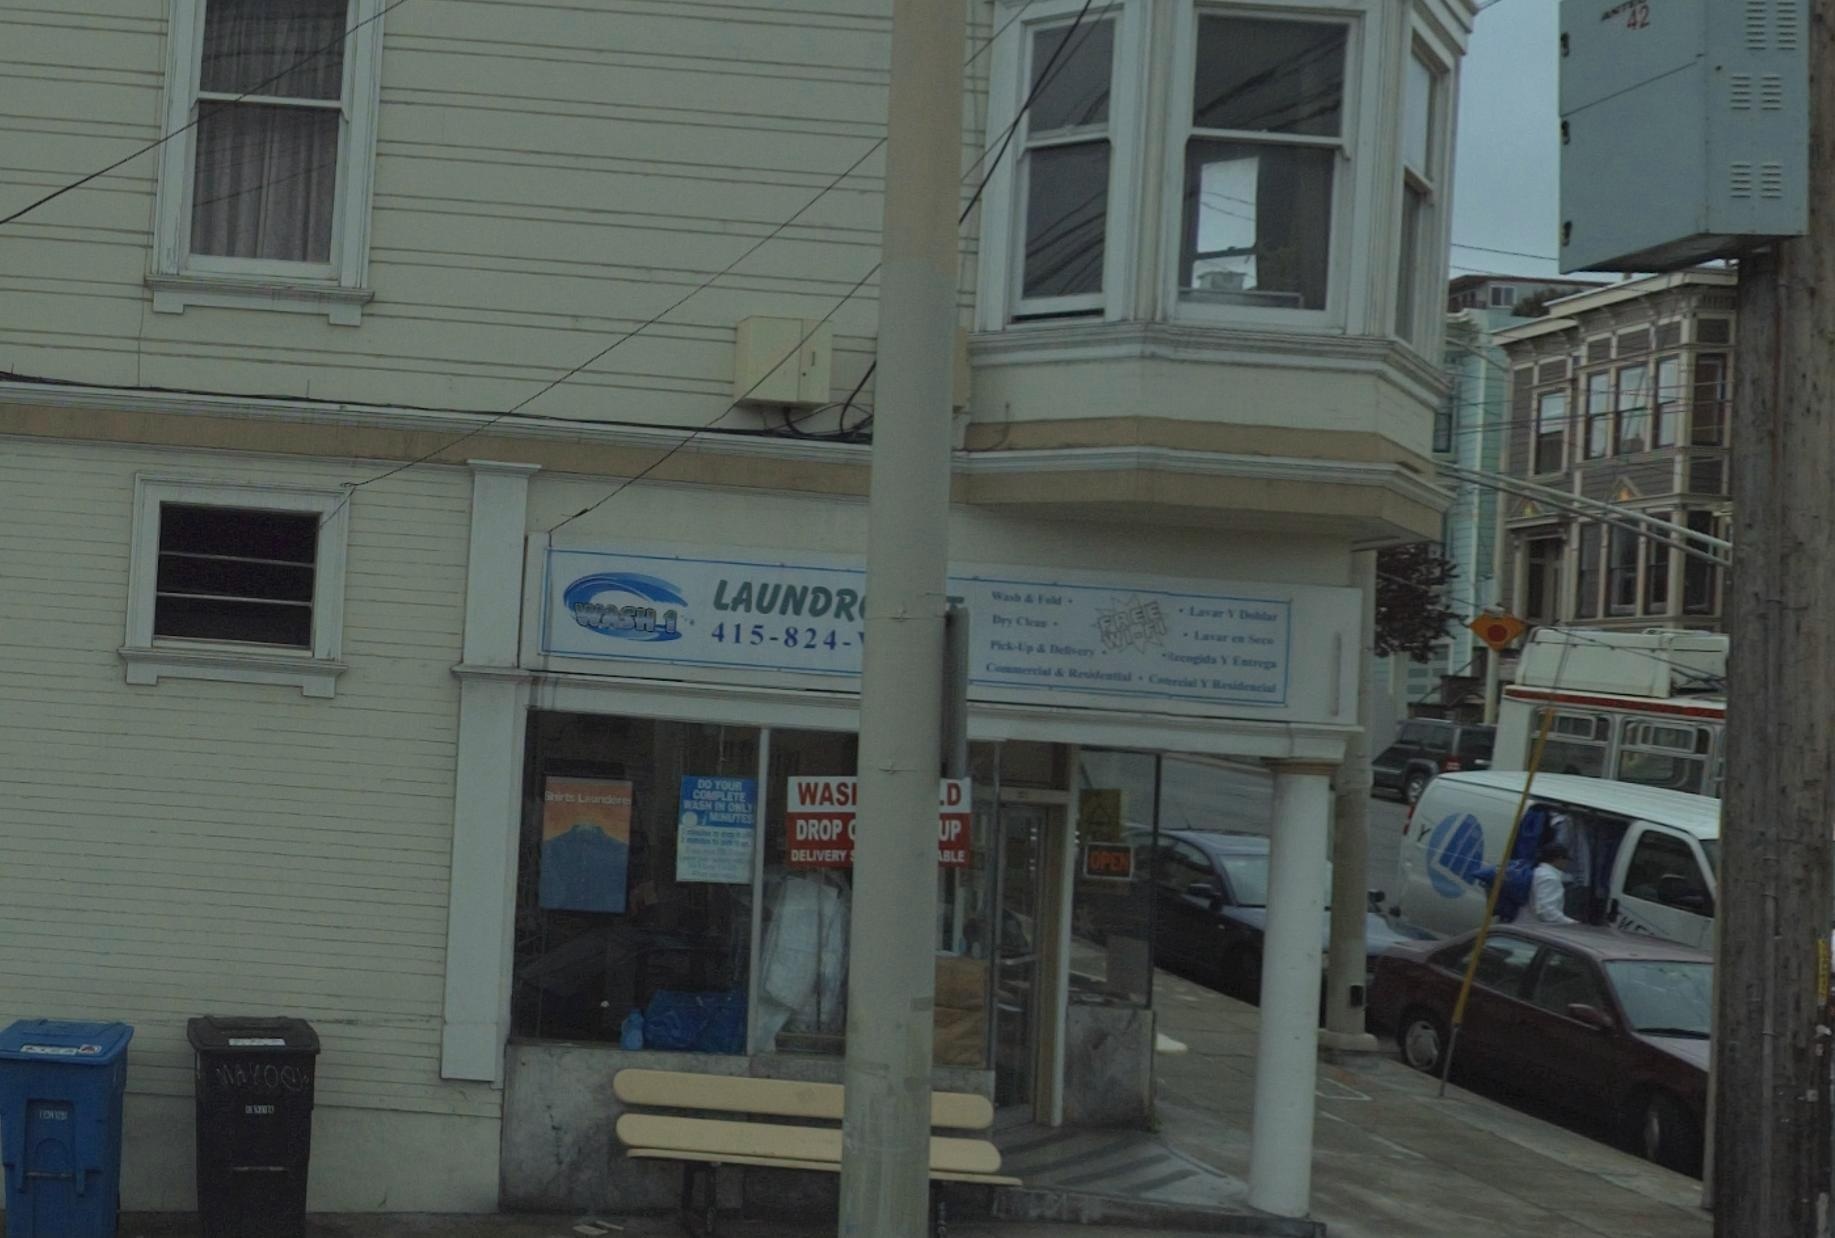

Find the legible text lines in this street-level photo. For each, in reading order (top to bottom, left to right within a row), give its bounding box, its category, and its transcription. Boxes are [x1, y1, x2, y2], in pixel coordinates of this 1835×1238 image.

[710, 577, 860, 623] BusinessName: LAUNDR
[990, 589, 1063, 607] None: Wash & Fold
[574, 601, 678, 635] BusinessName: WASH-1
[993, 612, 1050, 629] None: Dry Clean
[1096, 599, 1163, 638] None: FREE
[1185, 604, 1281, 624] None: Lavar Y D*blar
[709, 620, 853, 651] None: 415-824-
[1099, 616, 1162, 651] None: Wi-Fi
[1192, 627, 1275, 647] None: Lavar en Seco
[989, 638, 1097, 661] None: Pick-Up & Delivery
[985, 662, 1134, 684] None: Commercial & Residential
[1147, 672, 1278, 696] None: Comercial Y Residencial
[1164, 650, 1280, 673] None: Recogida Y Entr*ga
[543, 789, 632, 808] None: Shirts Launderers
[682, 798, 754, 815] None: WASH IN ONLY
[691, 788, 747, 802] None: COMPLETE
[697, 777, 744, 792] None: DO YOUR
[708, 811, 754, 825] None: MINUTES
[796, 781, 962, 807] None: WAS*D
[795, 817, 963, 842] None: DROP *UP
[1413, 820, 1435, 845] None: Y
[790, 848, 968, 864] None: DELIVERY **BLE
[1088, 849, 1129, 875] None: OPEN
[213, 1061, 298, 1090] None: MAYOe